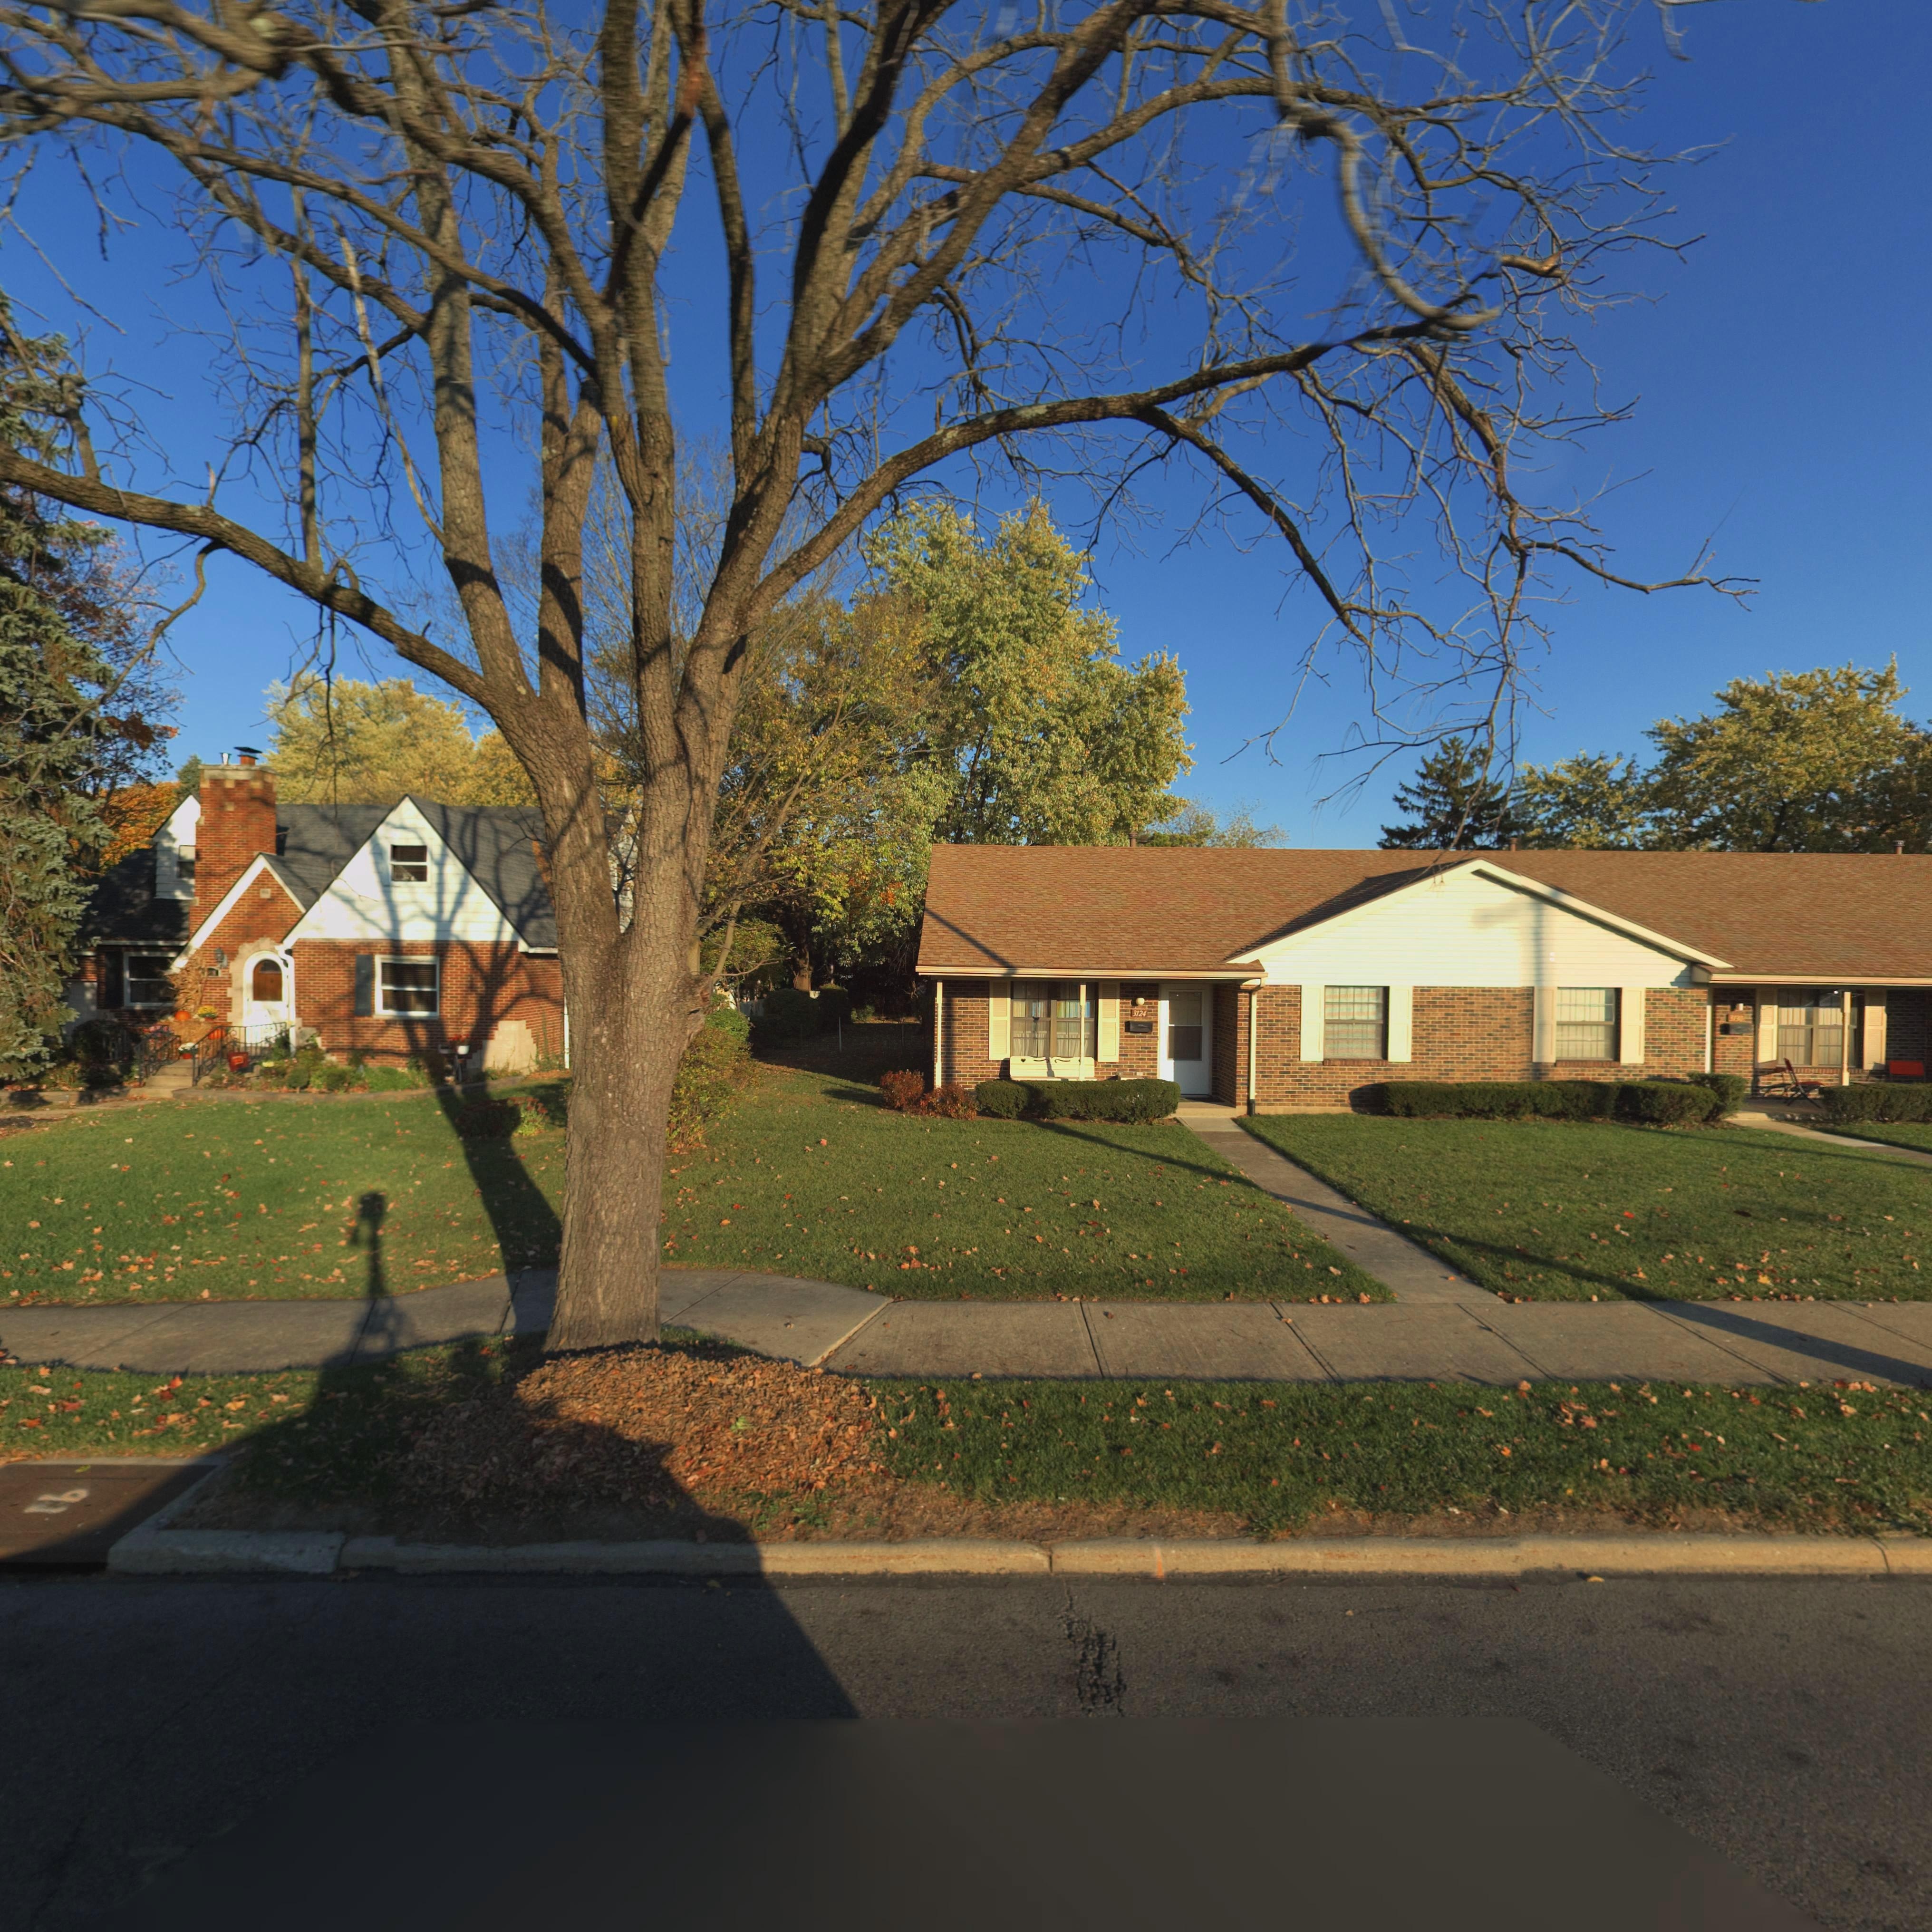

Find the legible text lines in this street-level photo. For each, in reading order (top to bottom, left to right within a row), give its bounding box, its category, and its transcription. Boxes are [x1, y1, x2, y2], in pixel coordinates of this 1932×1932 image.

[1132, 1009, 1148, 1017] StreetNumber: 3124